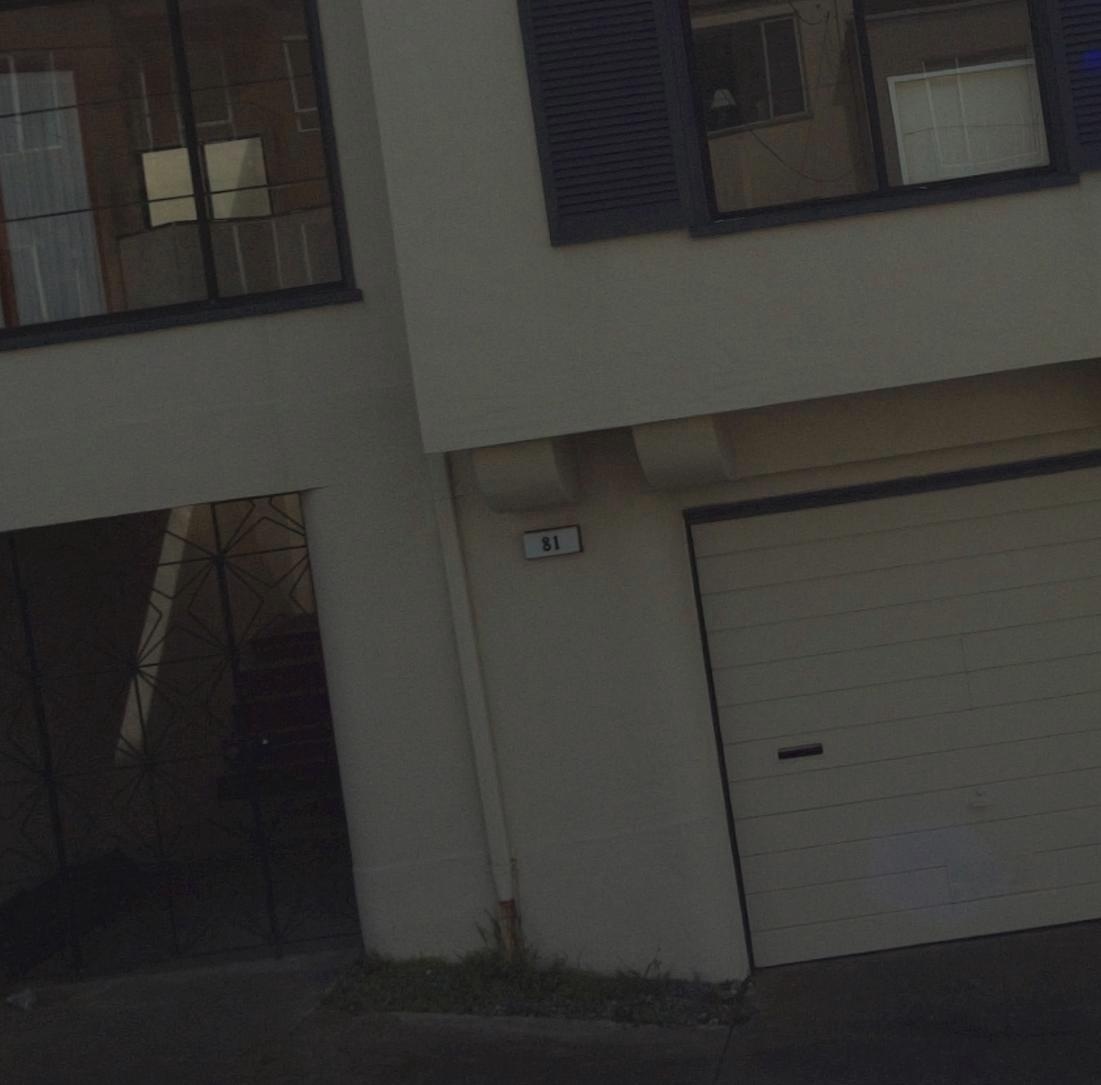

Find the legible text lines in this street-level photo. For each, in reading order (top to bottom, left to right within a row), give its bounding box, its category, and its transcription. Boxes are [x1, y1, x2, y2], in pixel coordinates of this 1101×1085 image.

[540, 534, 562, 553] StreetNumber: 81